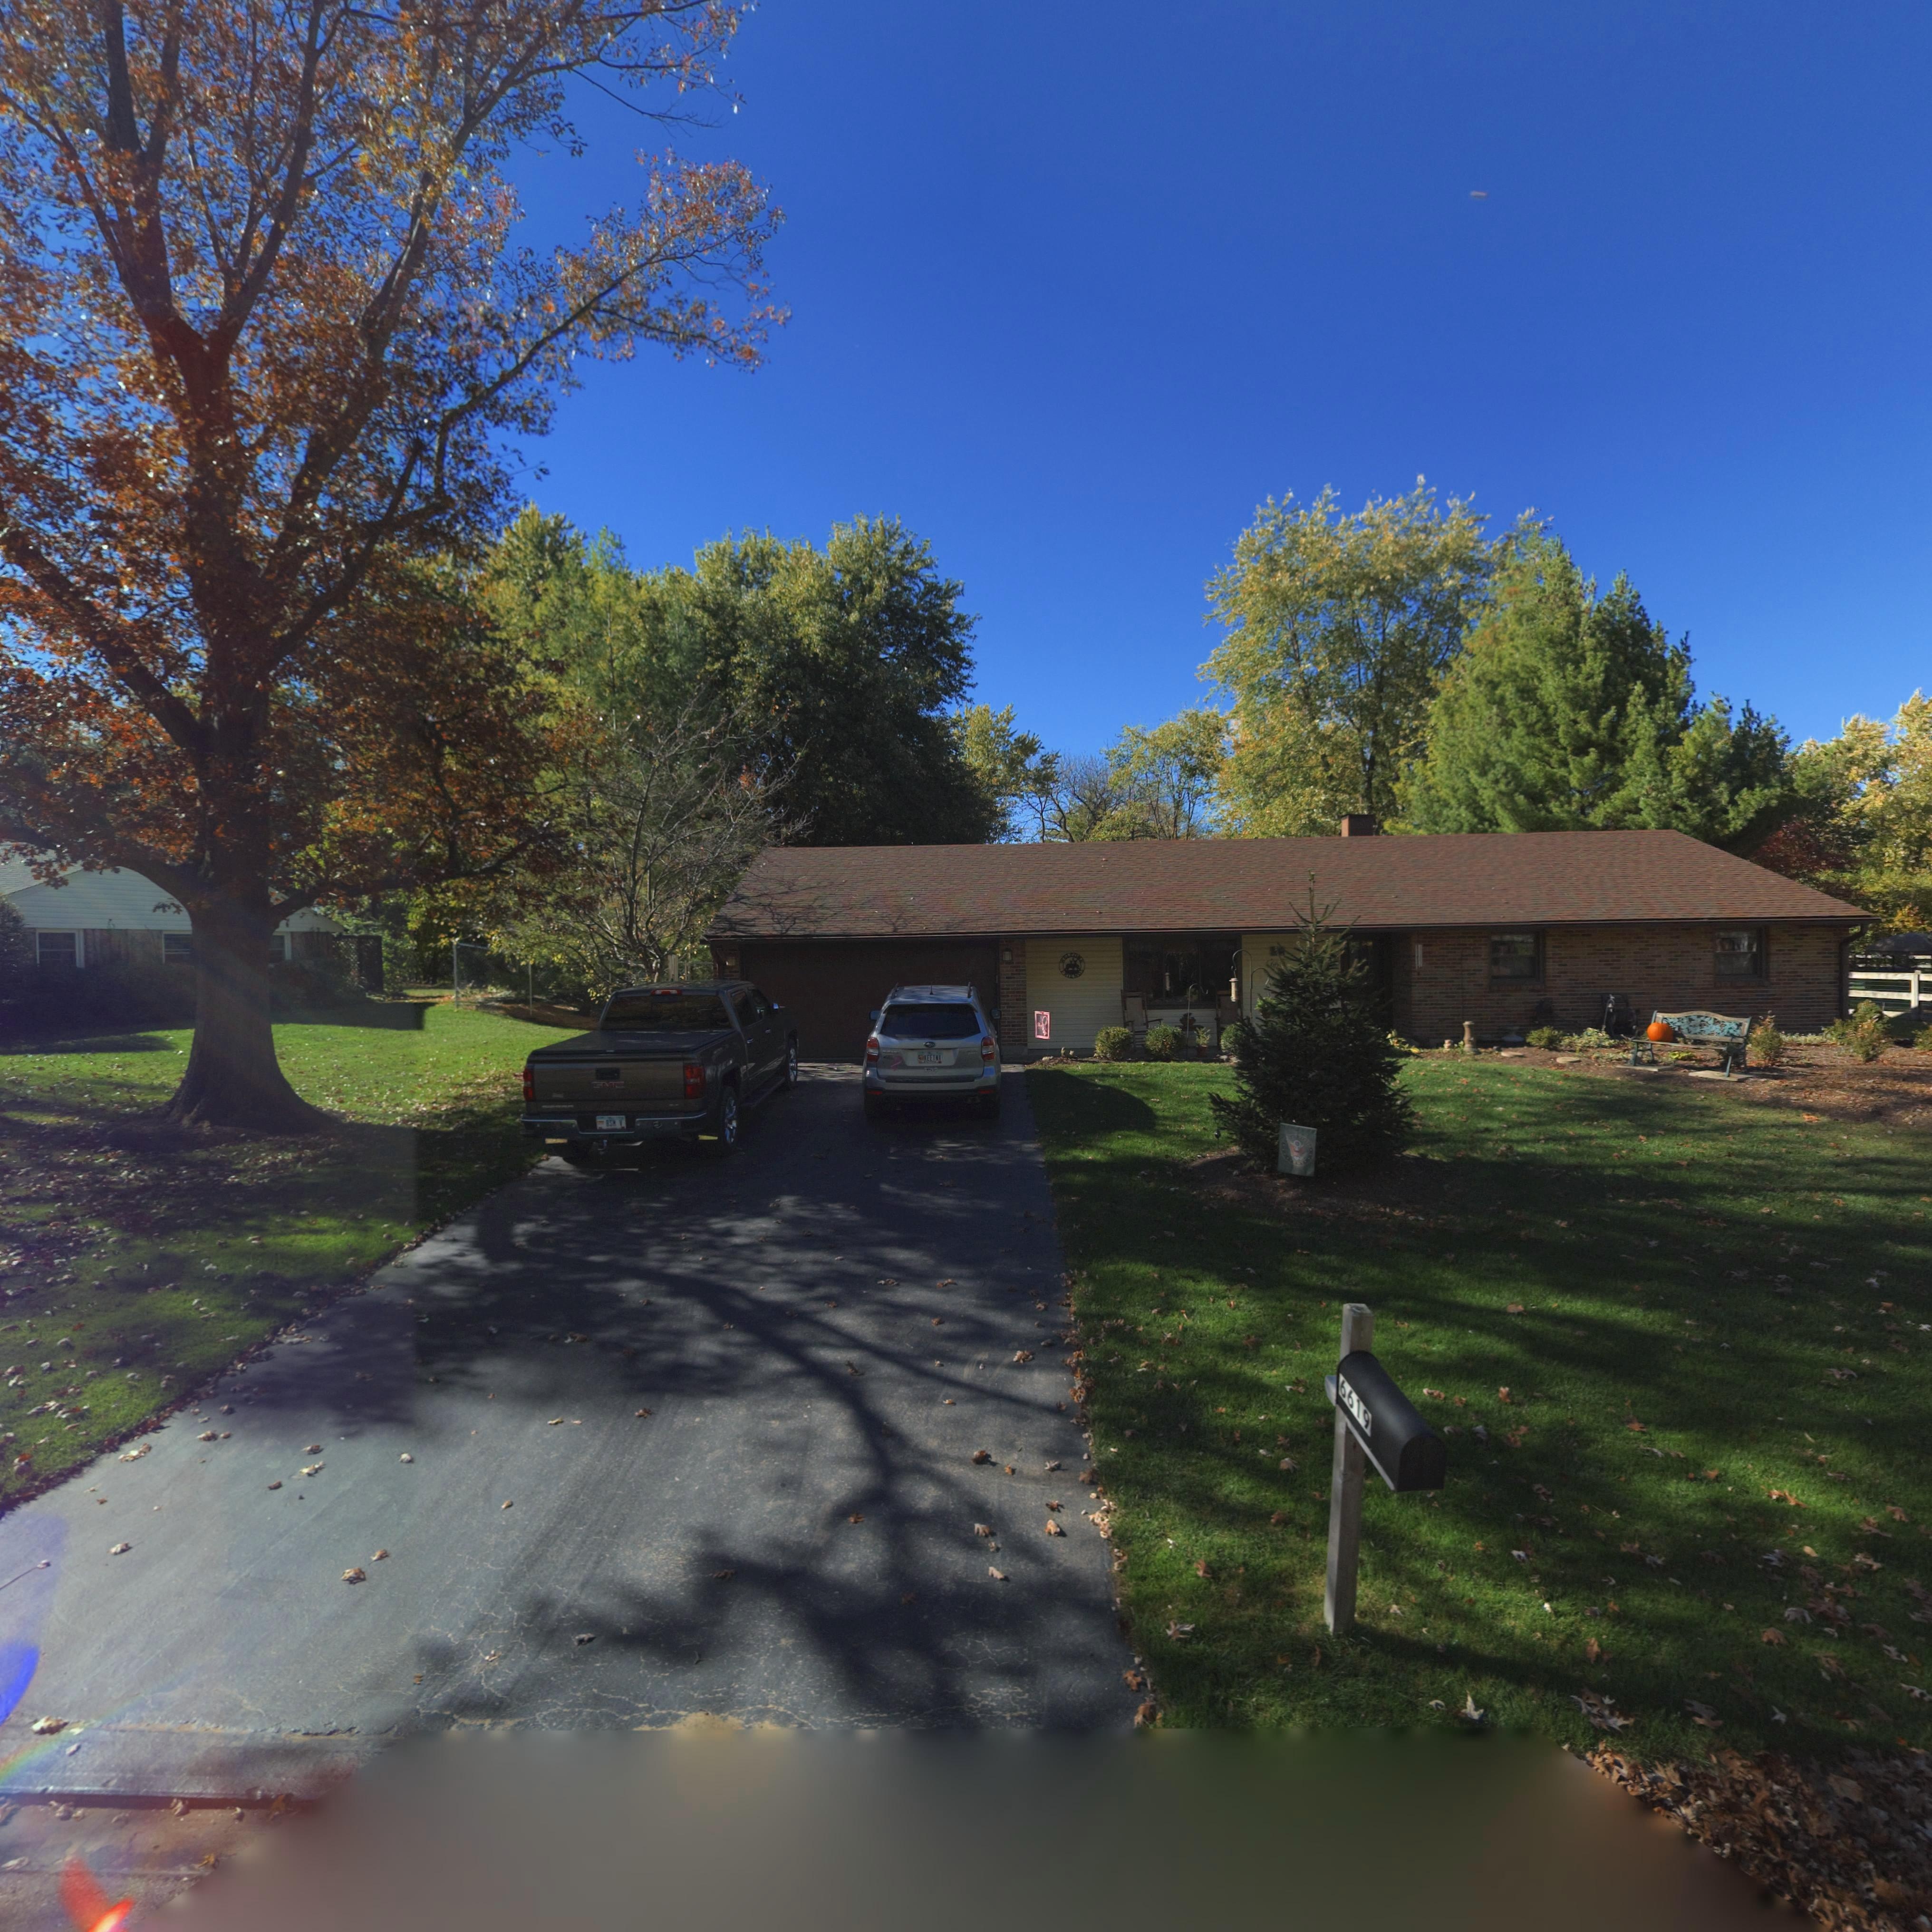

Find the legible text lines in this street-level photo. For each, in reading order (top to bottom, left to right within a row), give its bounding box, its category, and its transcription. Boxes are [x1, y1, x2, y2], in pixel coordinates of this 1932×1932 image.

[1270, 961, 1286, 967] StreetNumber: 6***
[927, 1054, 942, 1062] None: EETNA
[591, 1080, 626, 1091] None: GMC
[605, 1119, 623, 1128] None: BSM V
[1339, 1378, 1371, 1430] StreetNumber: 6619